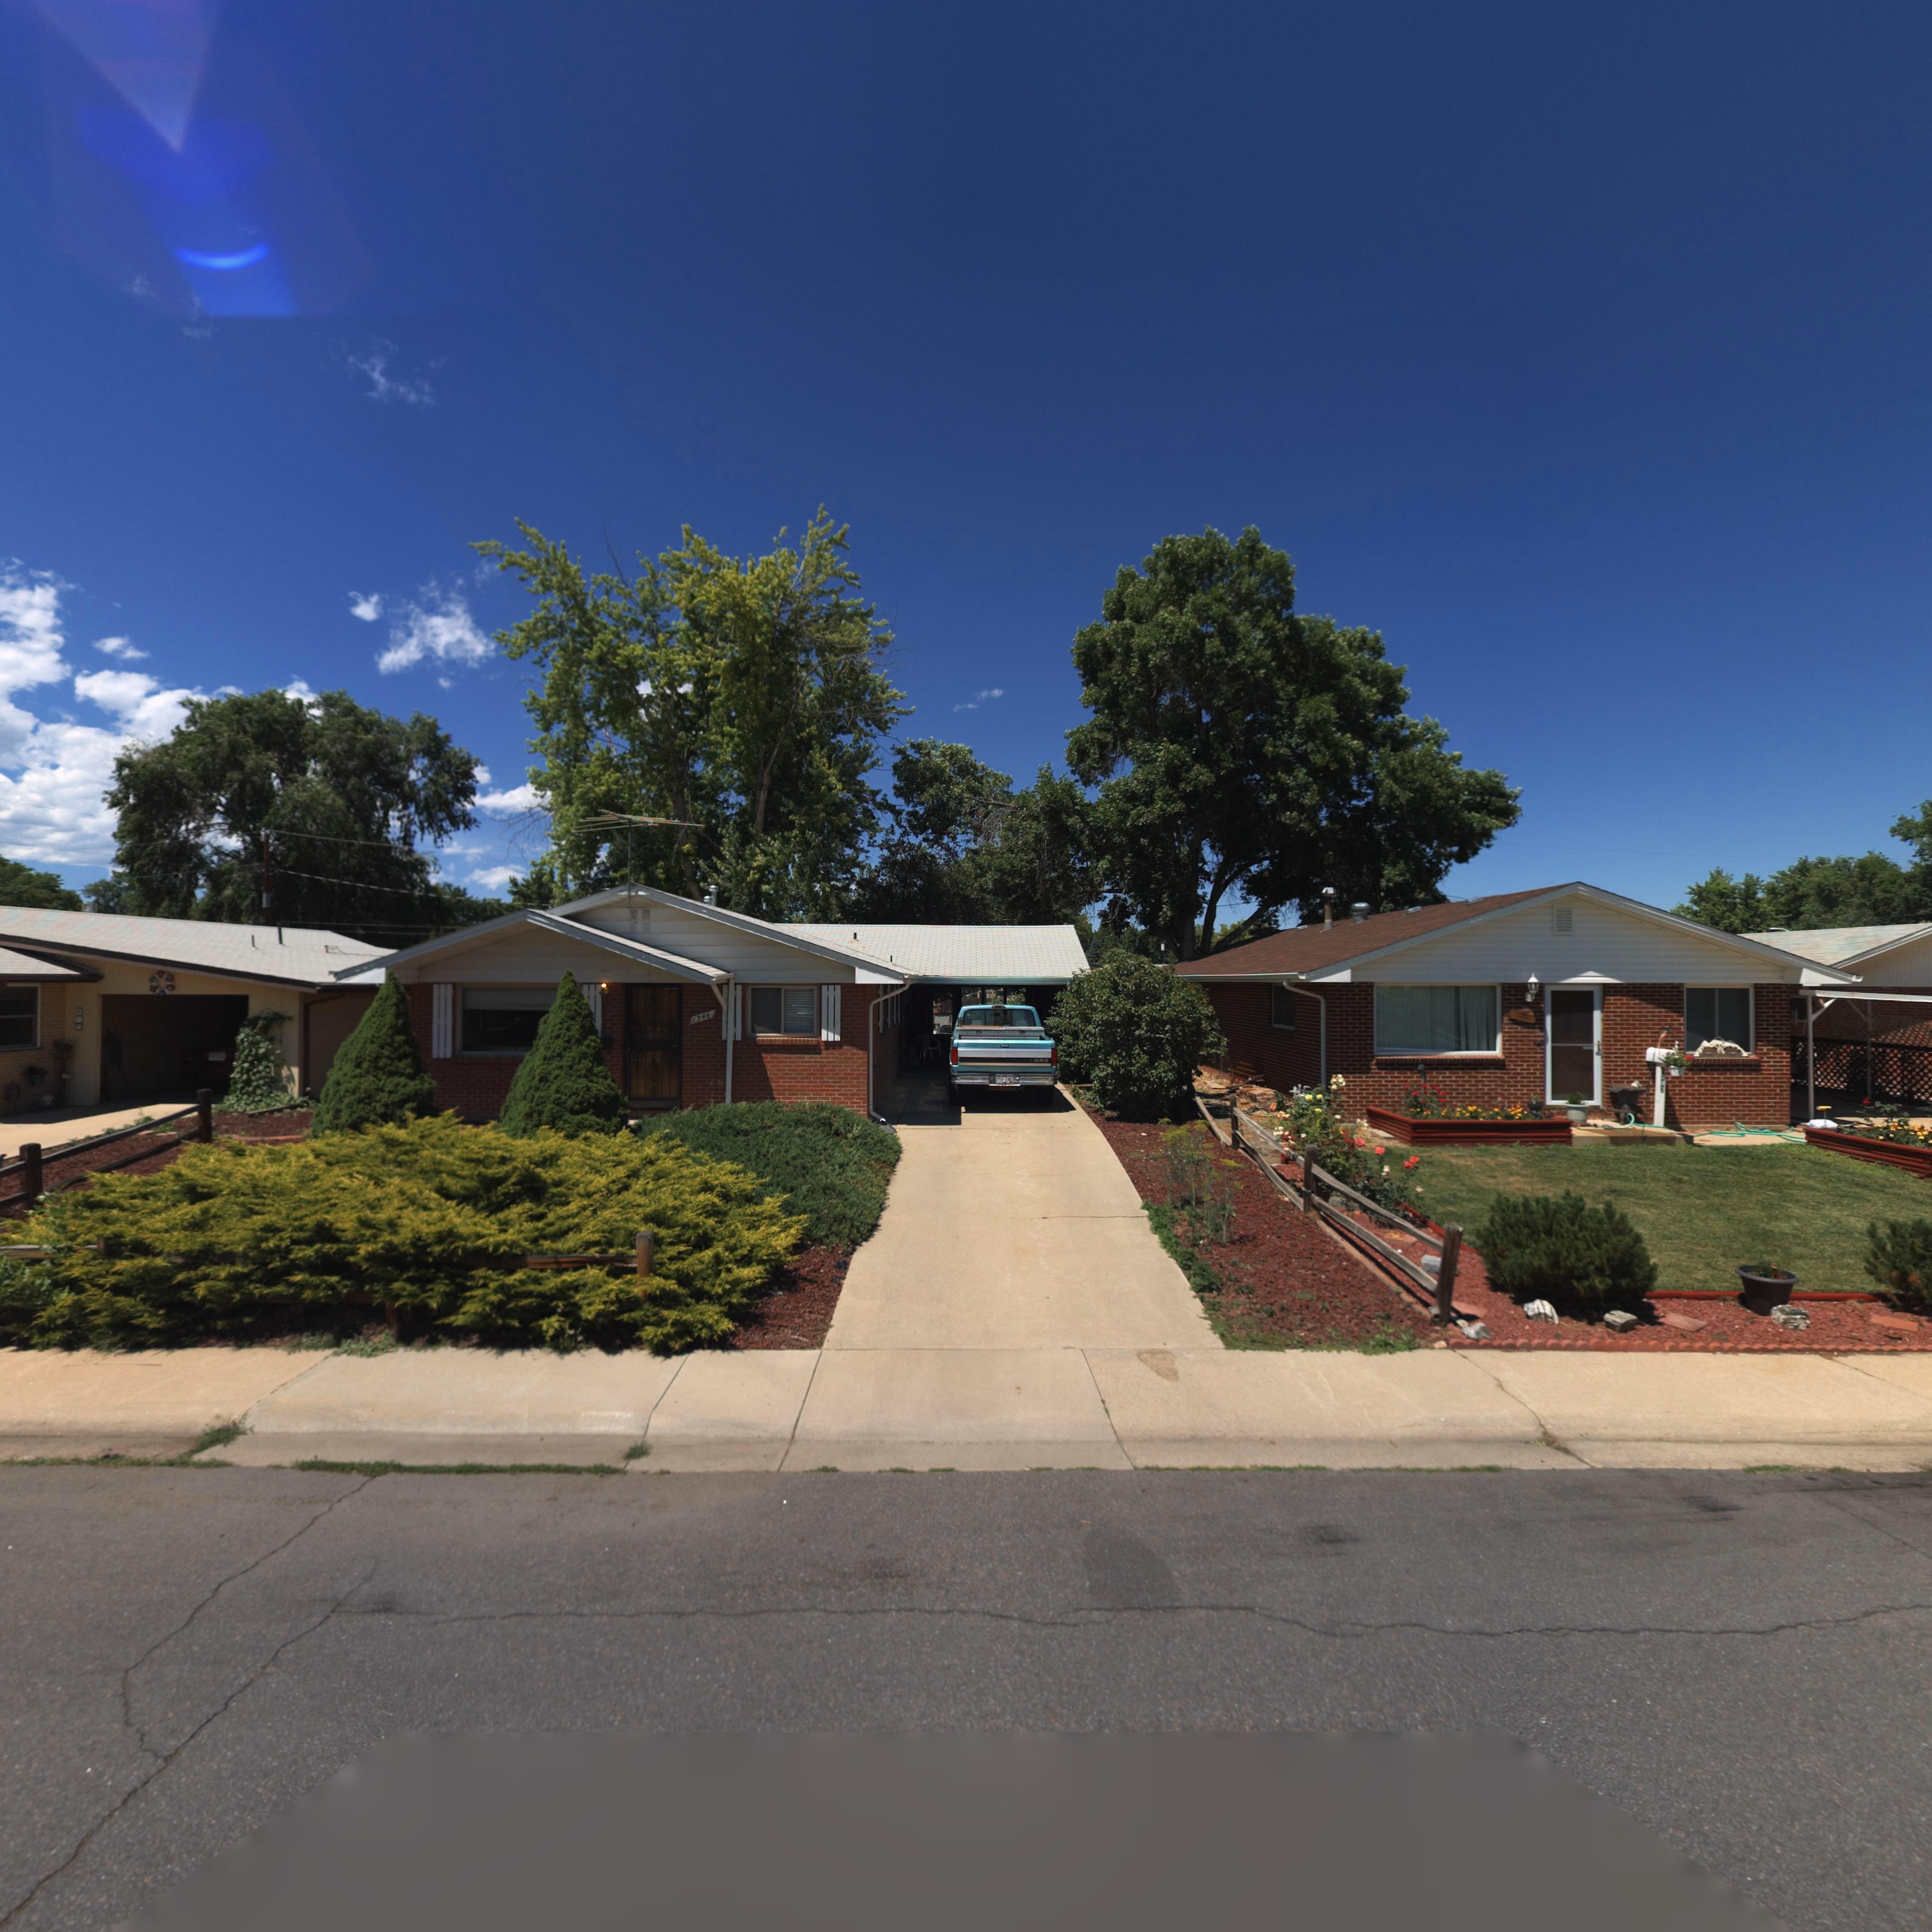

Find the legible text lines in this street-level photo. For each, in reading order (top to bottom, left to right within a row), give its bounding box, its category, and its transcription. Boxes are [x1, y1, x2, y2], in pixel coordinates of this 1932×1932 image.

[692, 1012, 711, 1024] StreetNumber: 1346